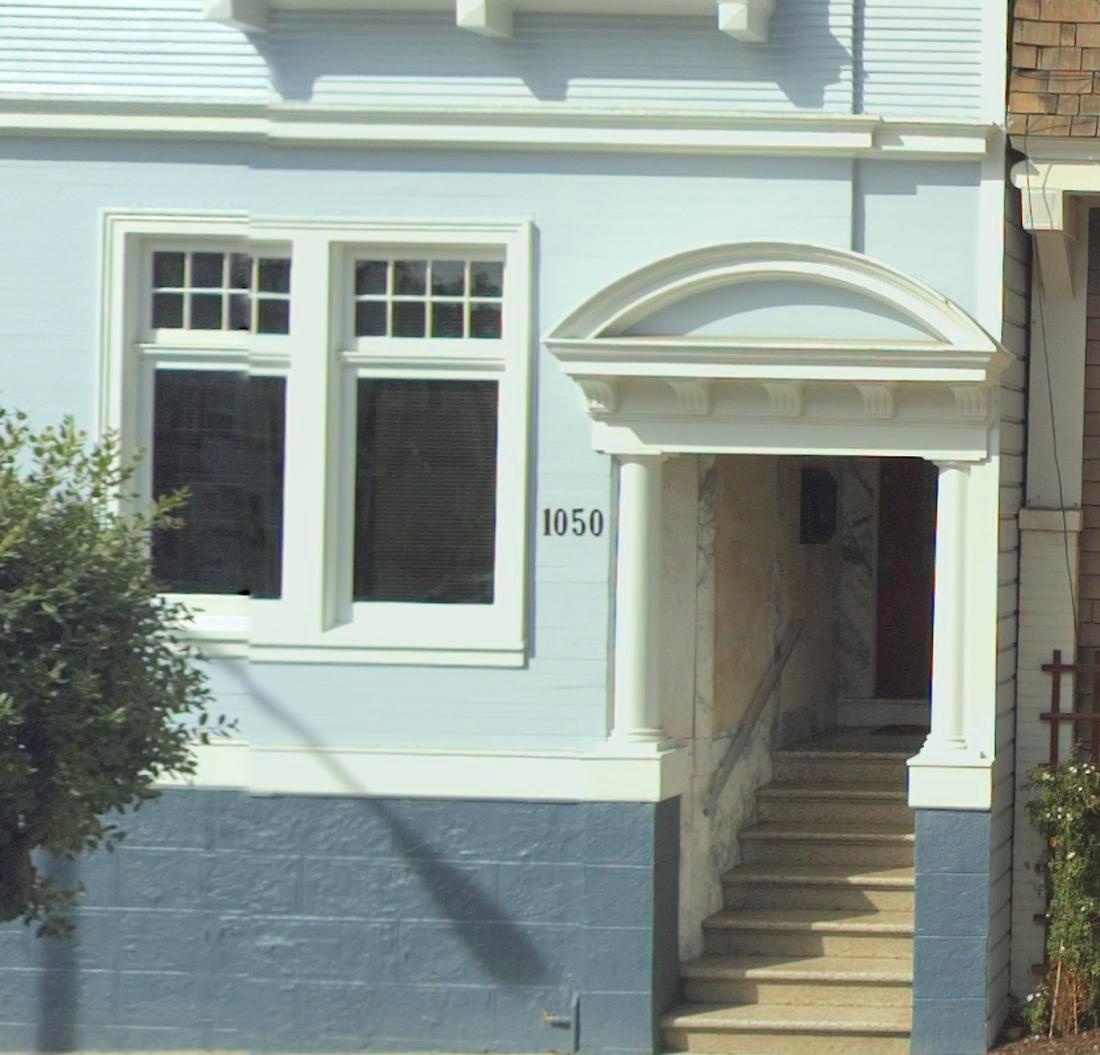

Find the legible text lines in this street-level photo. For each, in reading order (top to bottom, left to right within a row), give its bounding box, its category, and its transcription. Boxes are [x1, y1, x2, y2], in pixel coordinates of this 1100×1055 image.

[541, 506, 606, 538] StreetNumber: 1050